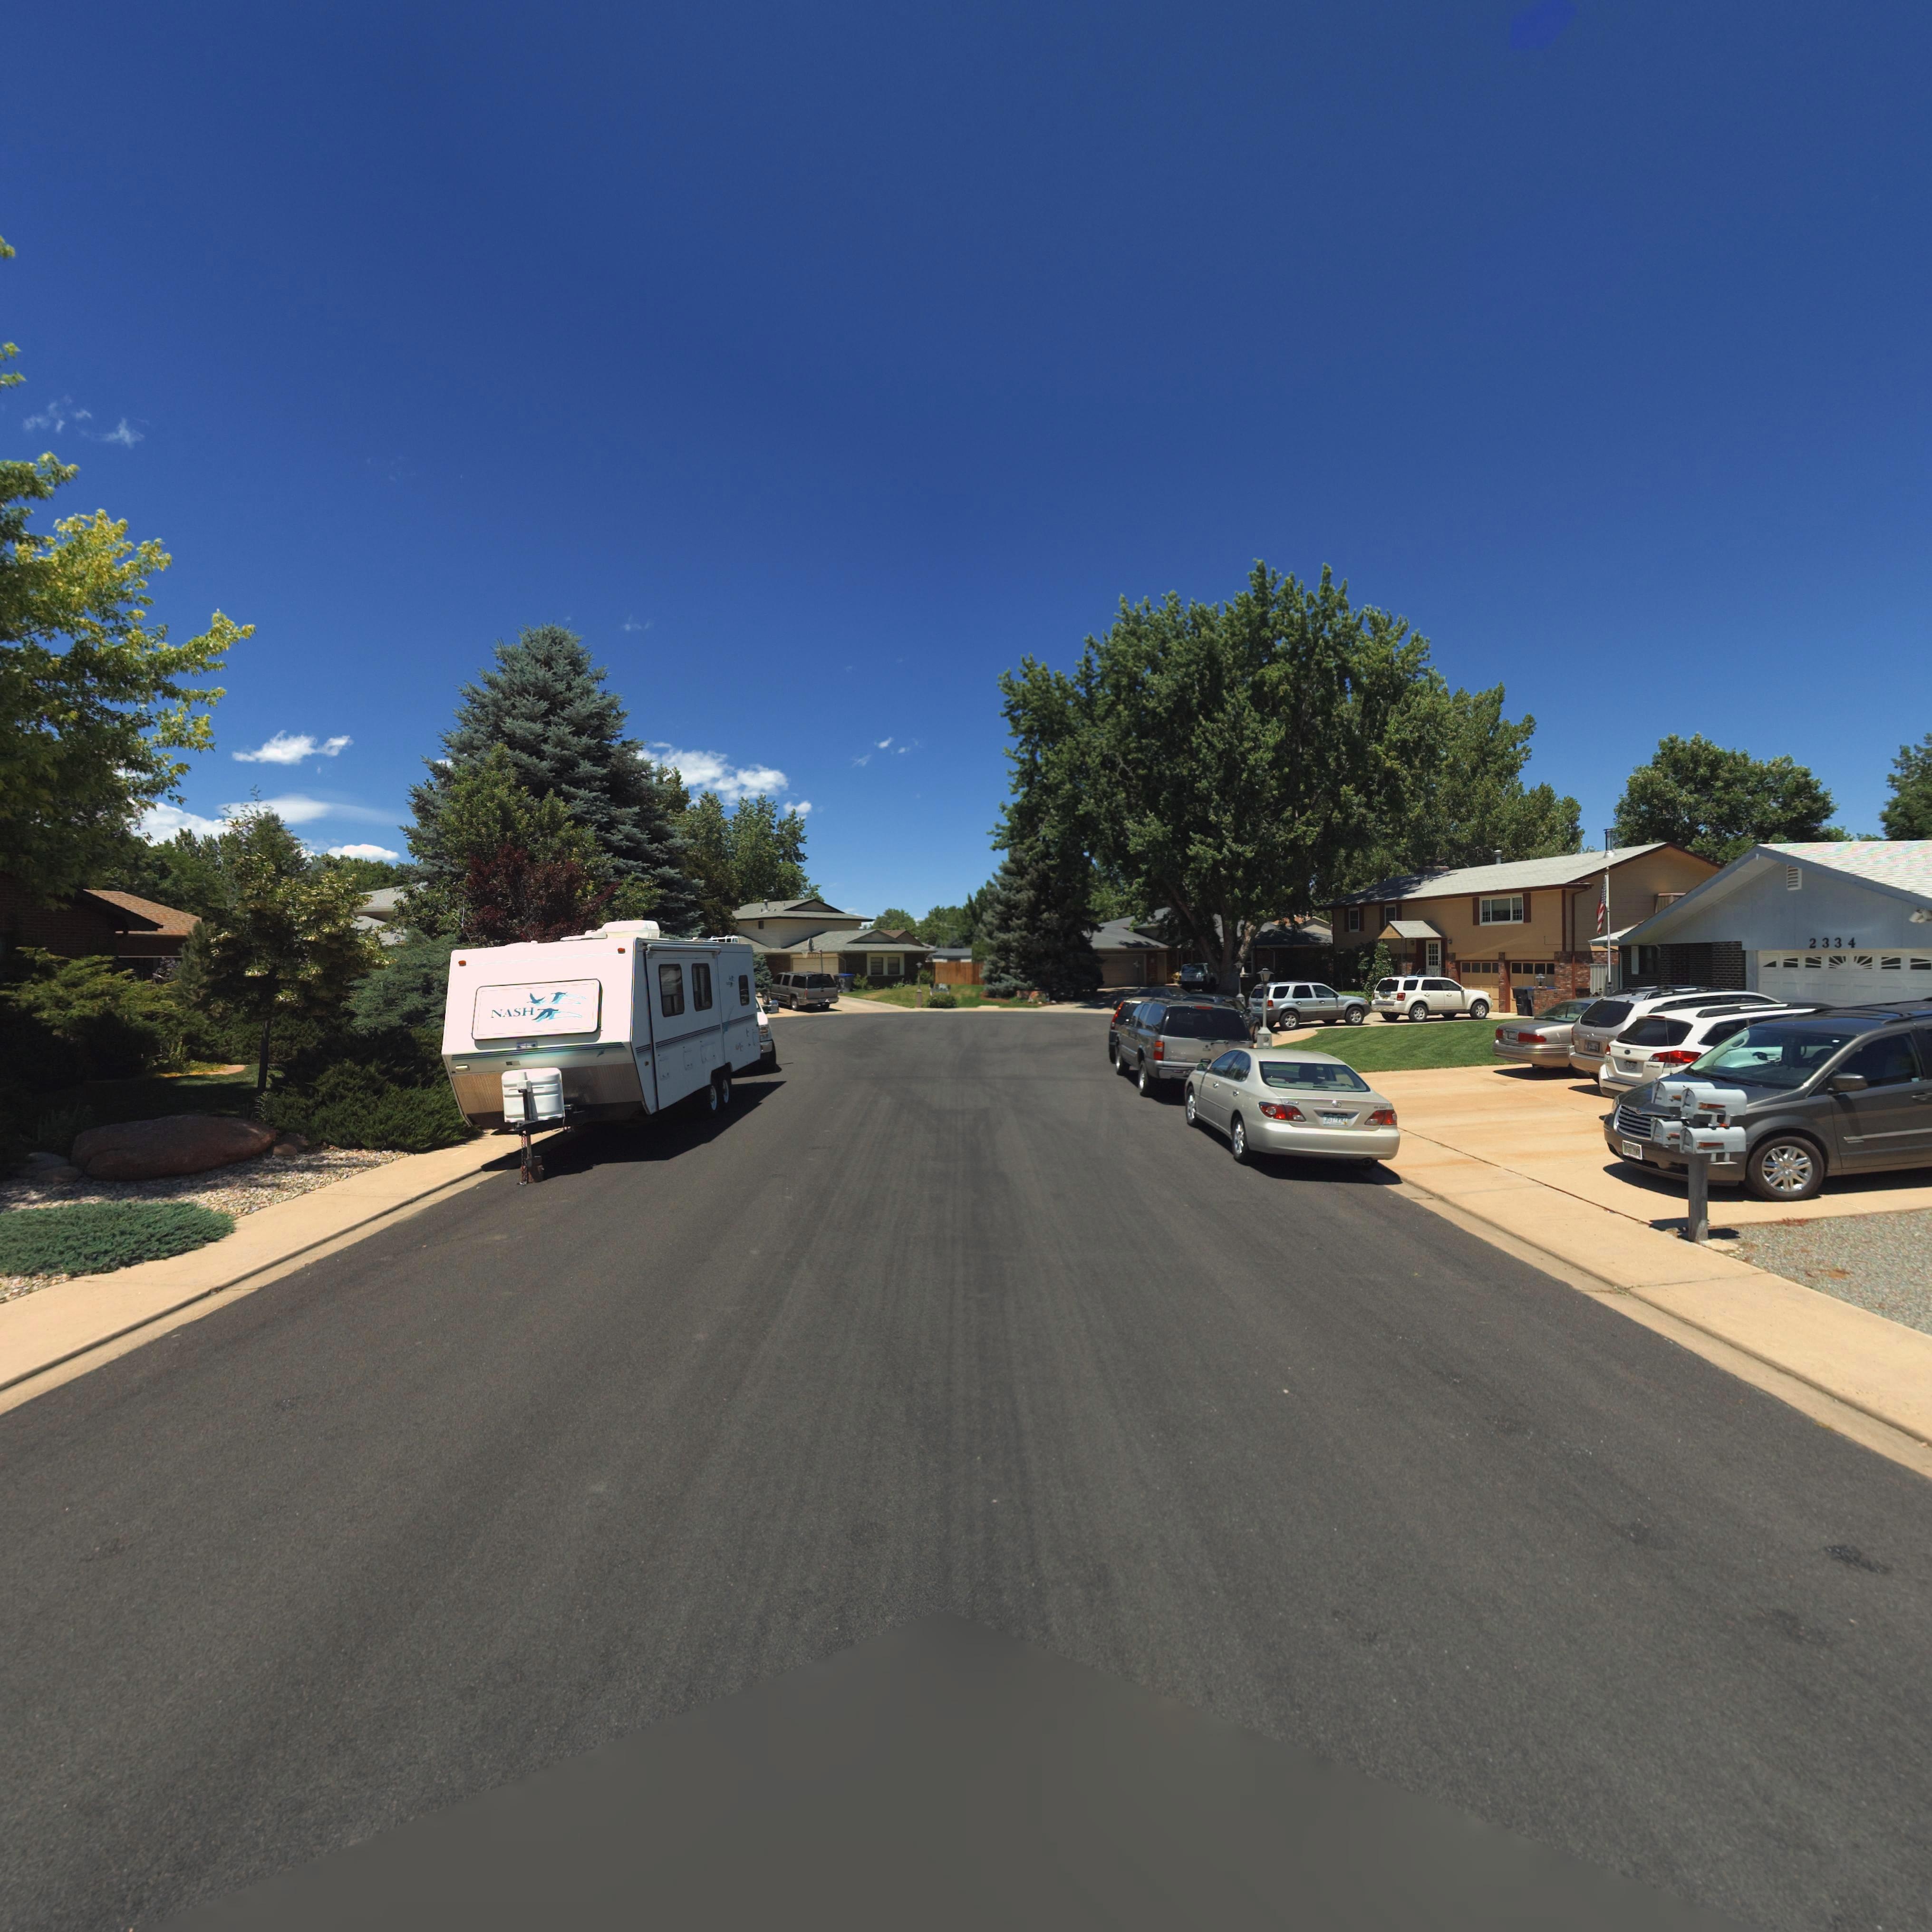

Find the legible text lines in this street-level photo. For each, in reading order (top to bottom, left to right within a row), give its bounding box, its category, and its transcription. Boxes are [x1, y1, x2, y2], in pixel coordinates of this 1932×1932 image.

[1809, 937, 1855, 948] StreetNumber: 2334